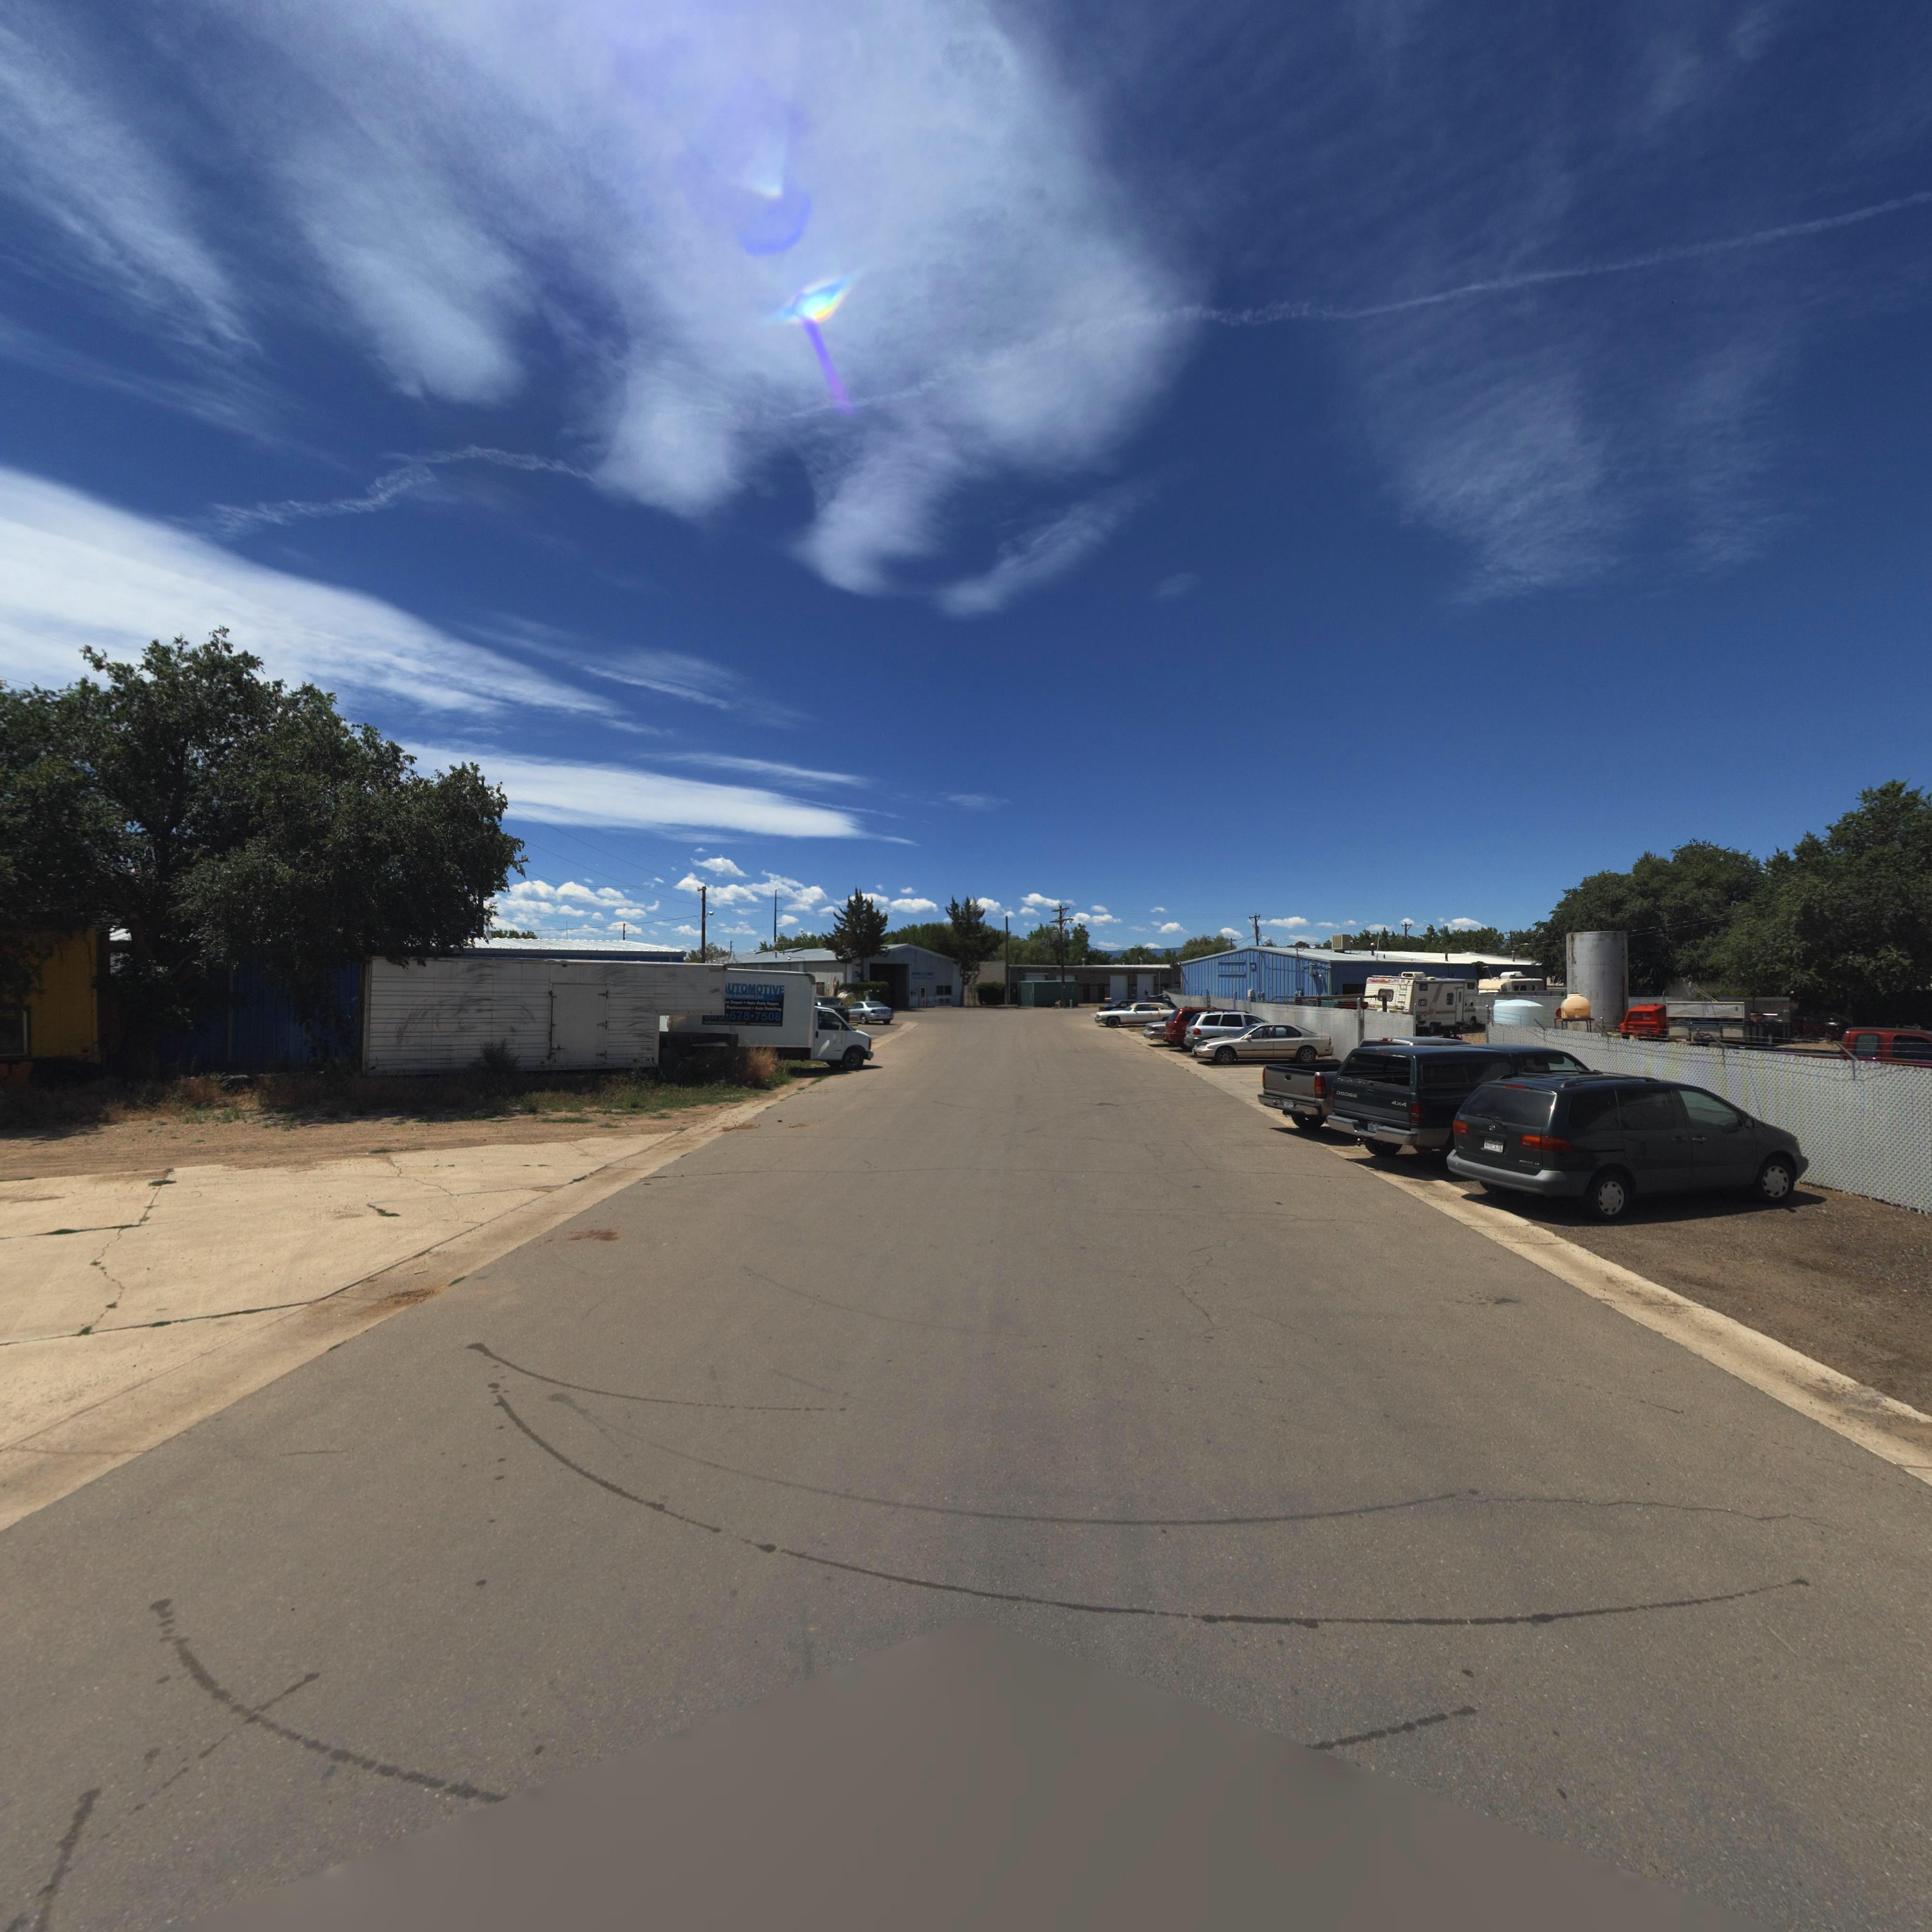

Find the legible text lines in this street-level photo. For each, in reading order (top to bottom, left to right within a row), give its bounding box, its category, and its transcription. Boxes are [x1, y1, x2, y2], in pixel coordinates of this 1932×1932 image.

[912, 974, 934, 979] BusinessName: EMIS*****
[729, 1011, 781, 1021] PhoneNumber: 678-7508